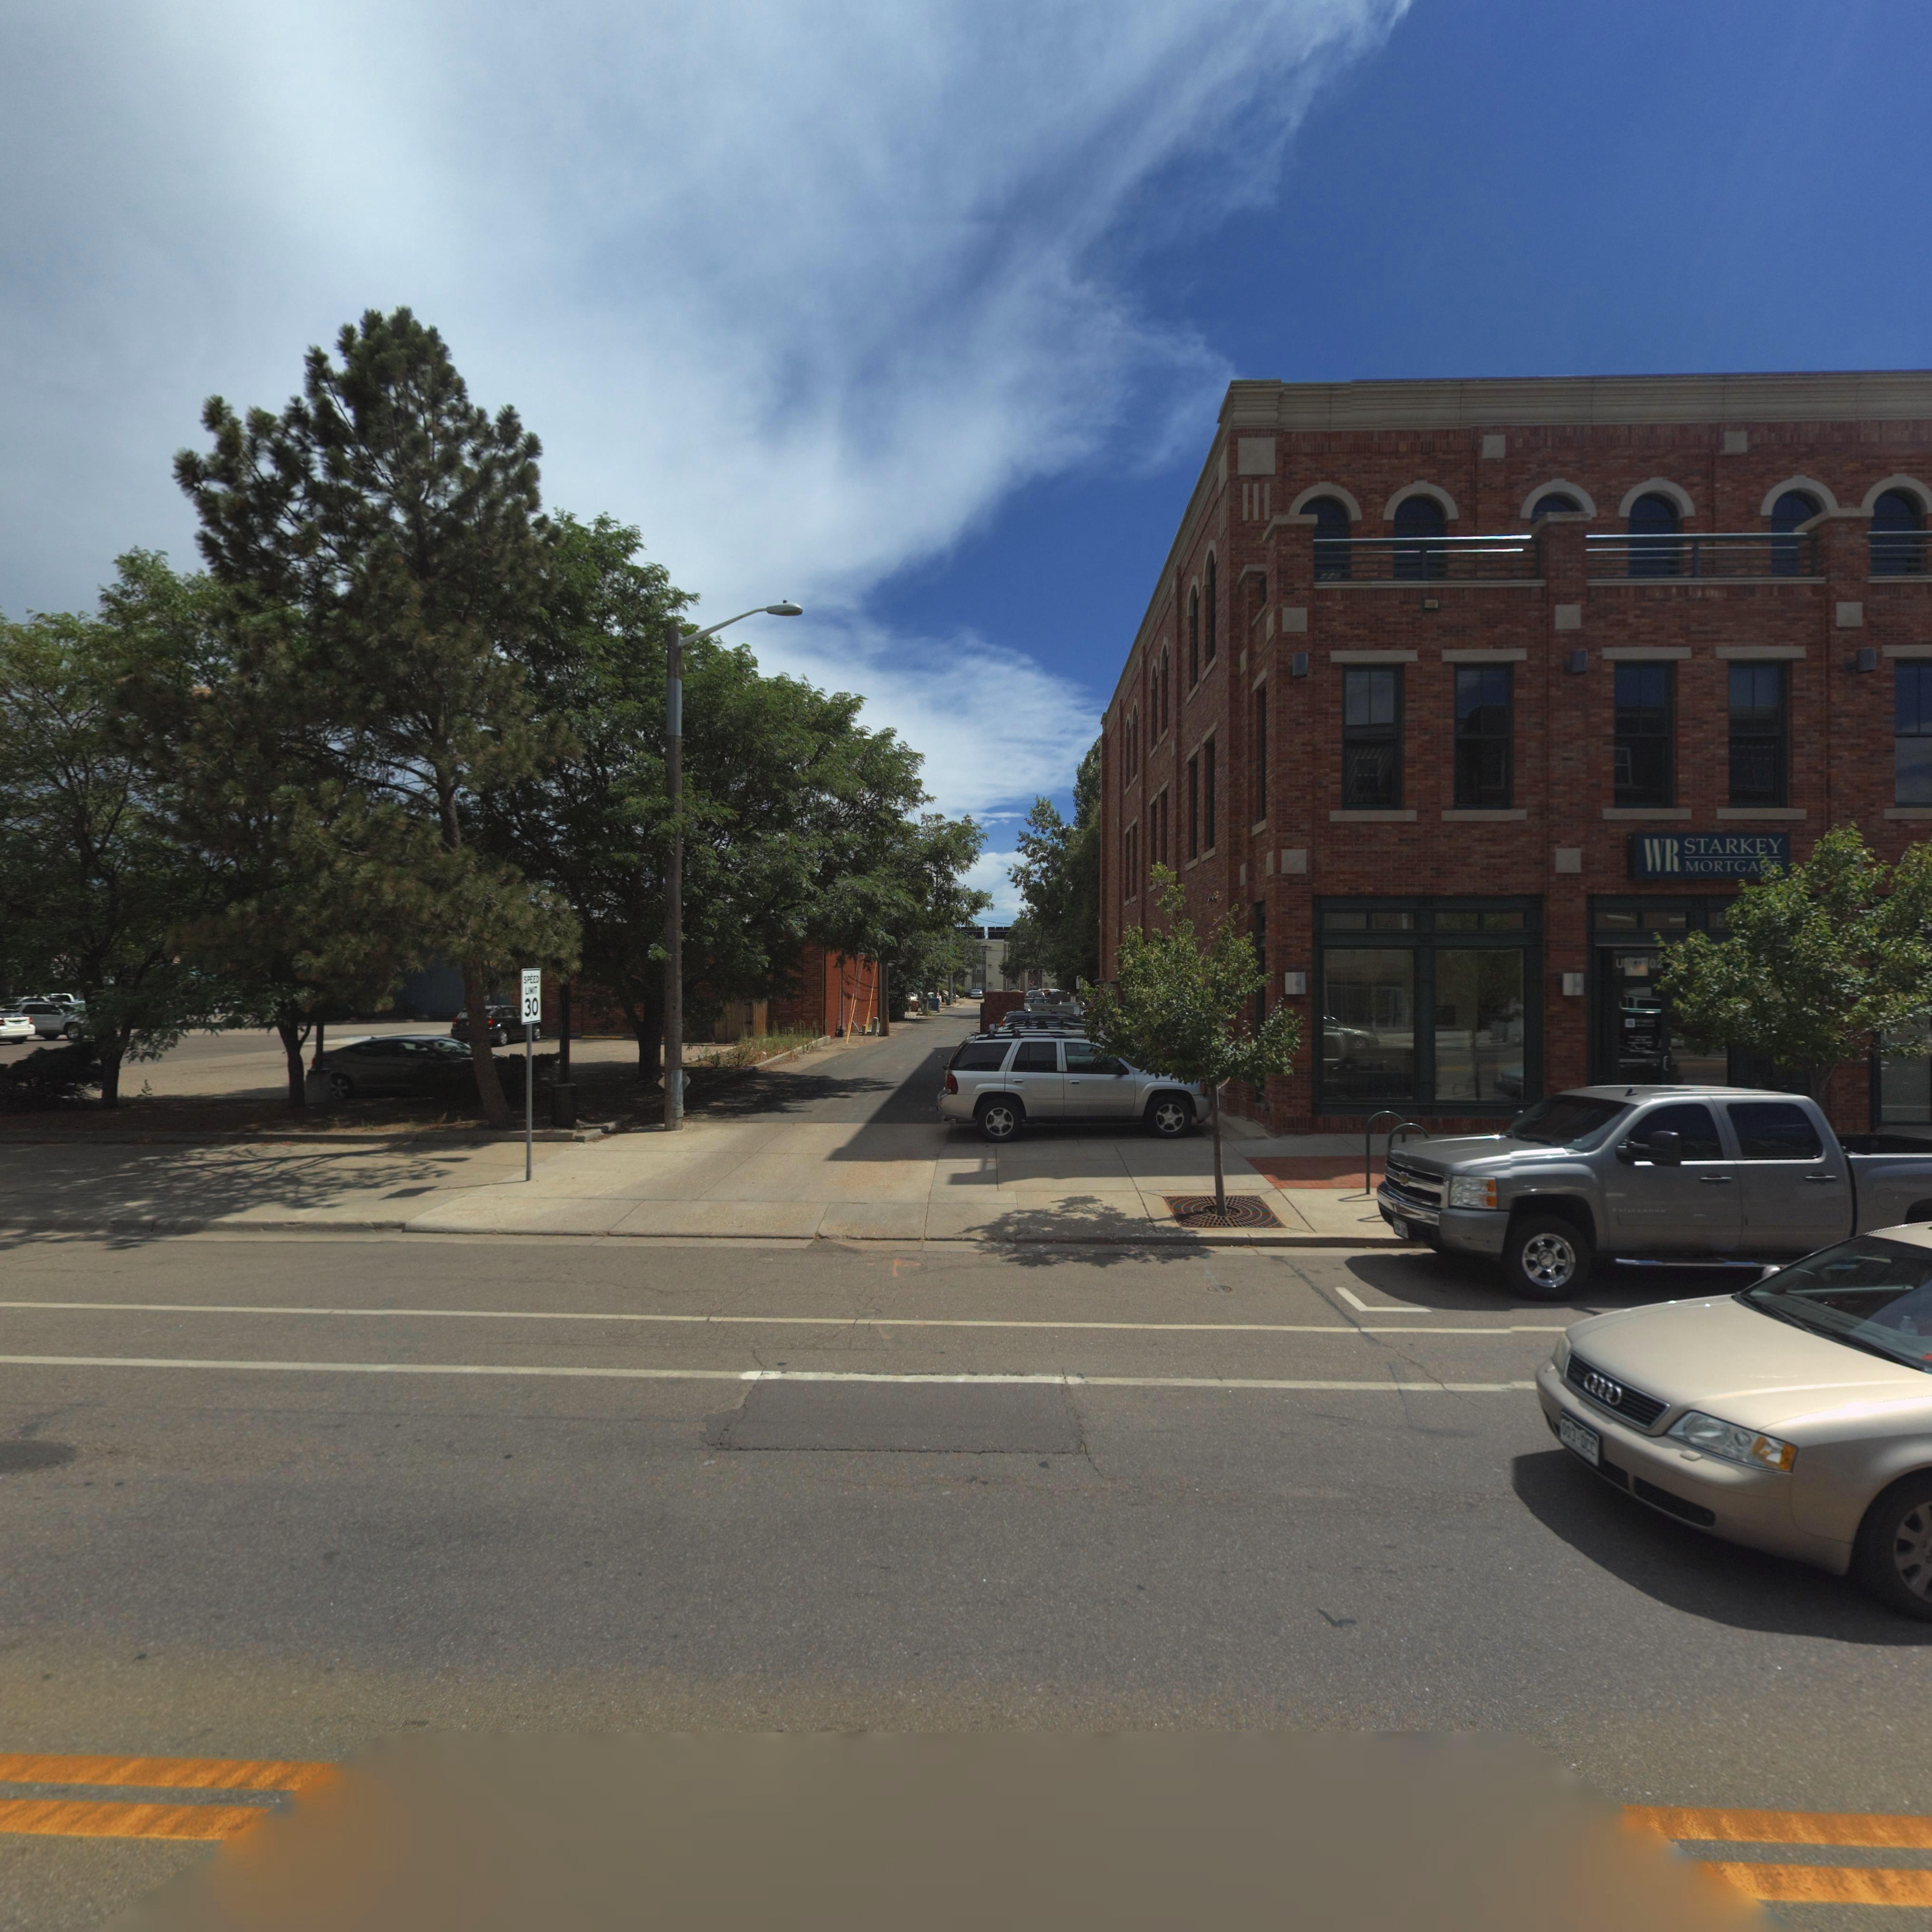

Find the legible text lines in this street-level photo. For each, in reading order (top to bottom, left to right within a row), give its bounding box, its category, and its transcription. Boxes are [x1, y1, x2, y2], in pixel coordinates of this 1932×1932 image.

[1684, 838, 1783, 854] BusinessName: STARKEY
[1685, 860, 1781, 872] BusinessName: MORTGA**
[1616, 958, 1663, 967] SecondaryUnitDesignator: UN** *02*